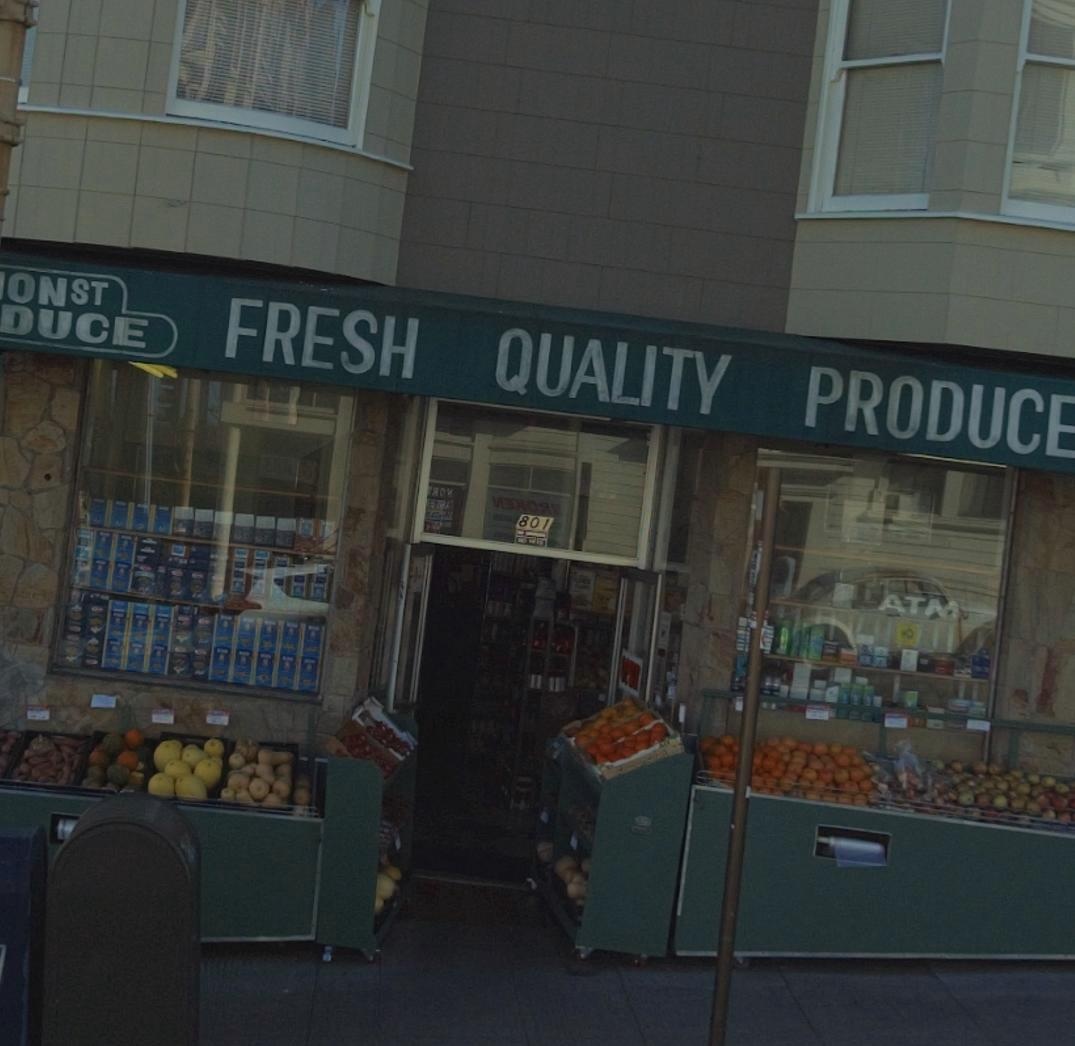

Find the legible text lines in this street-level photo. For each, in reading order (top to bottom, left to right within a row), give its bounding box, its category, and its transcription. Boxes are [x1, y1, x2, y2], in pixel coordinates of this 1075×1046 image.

[6, 270, 110, 308] BusinessName: ONST
[36, 305, 151, 350] BusinessName: UCE
[221, 294, 1046, 457] None: FRESH QUALITY PRODUC
[516, 514, 553, 532] StreetNumber: 801
[873, 592, 963, 623] None: ATM